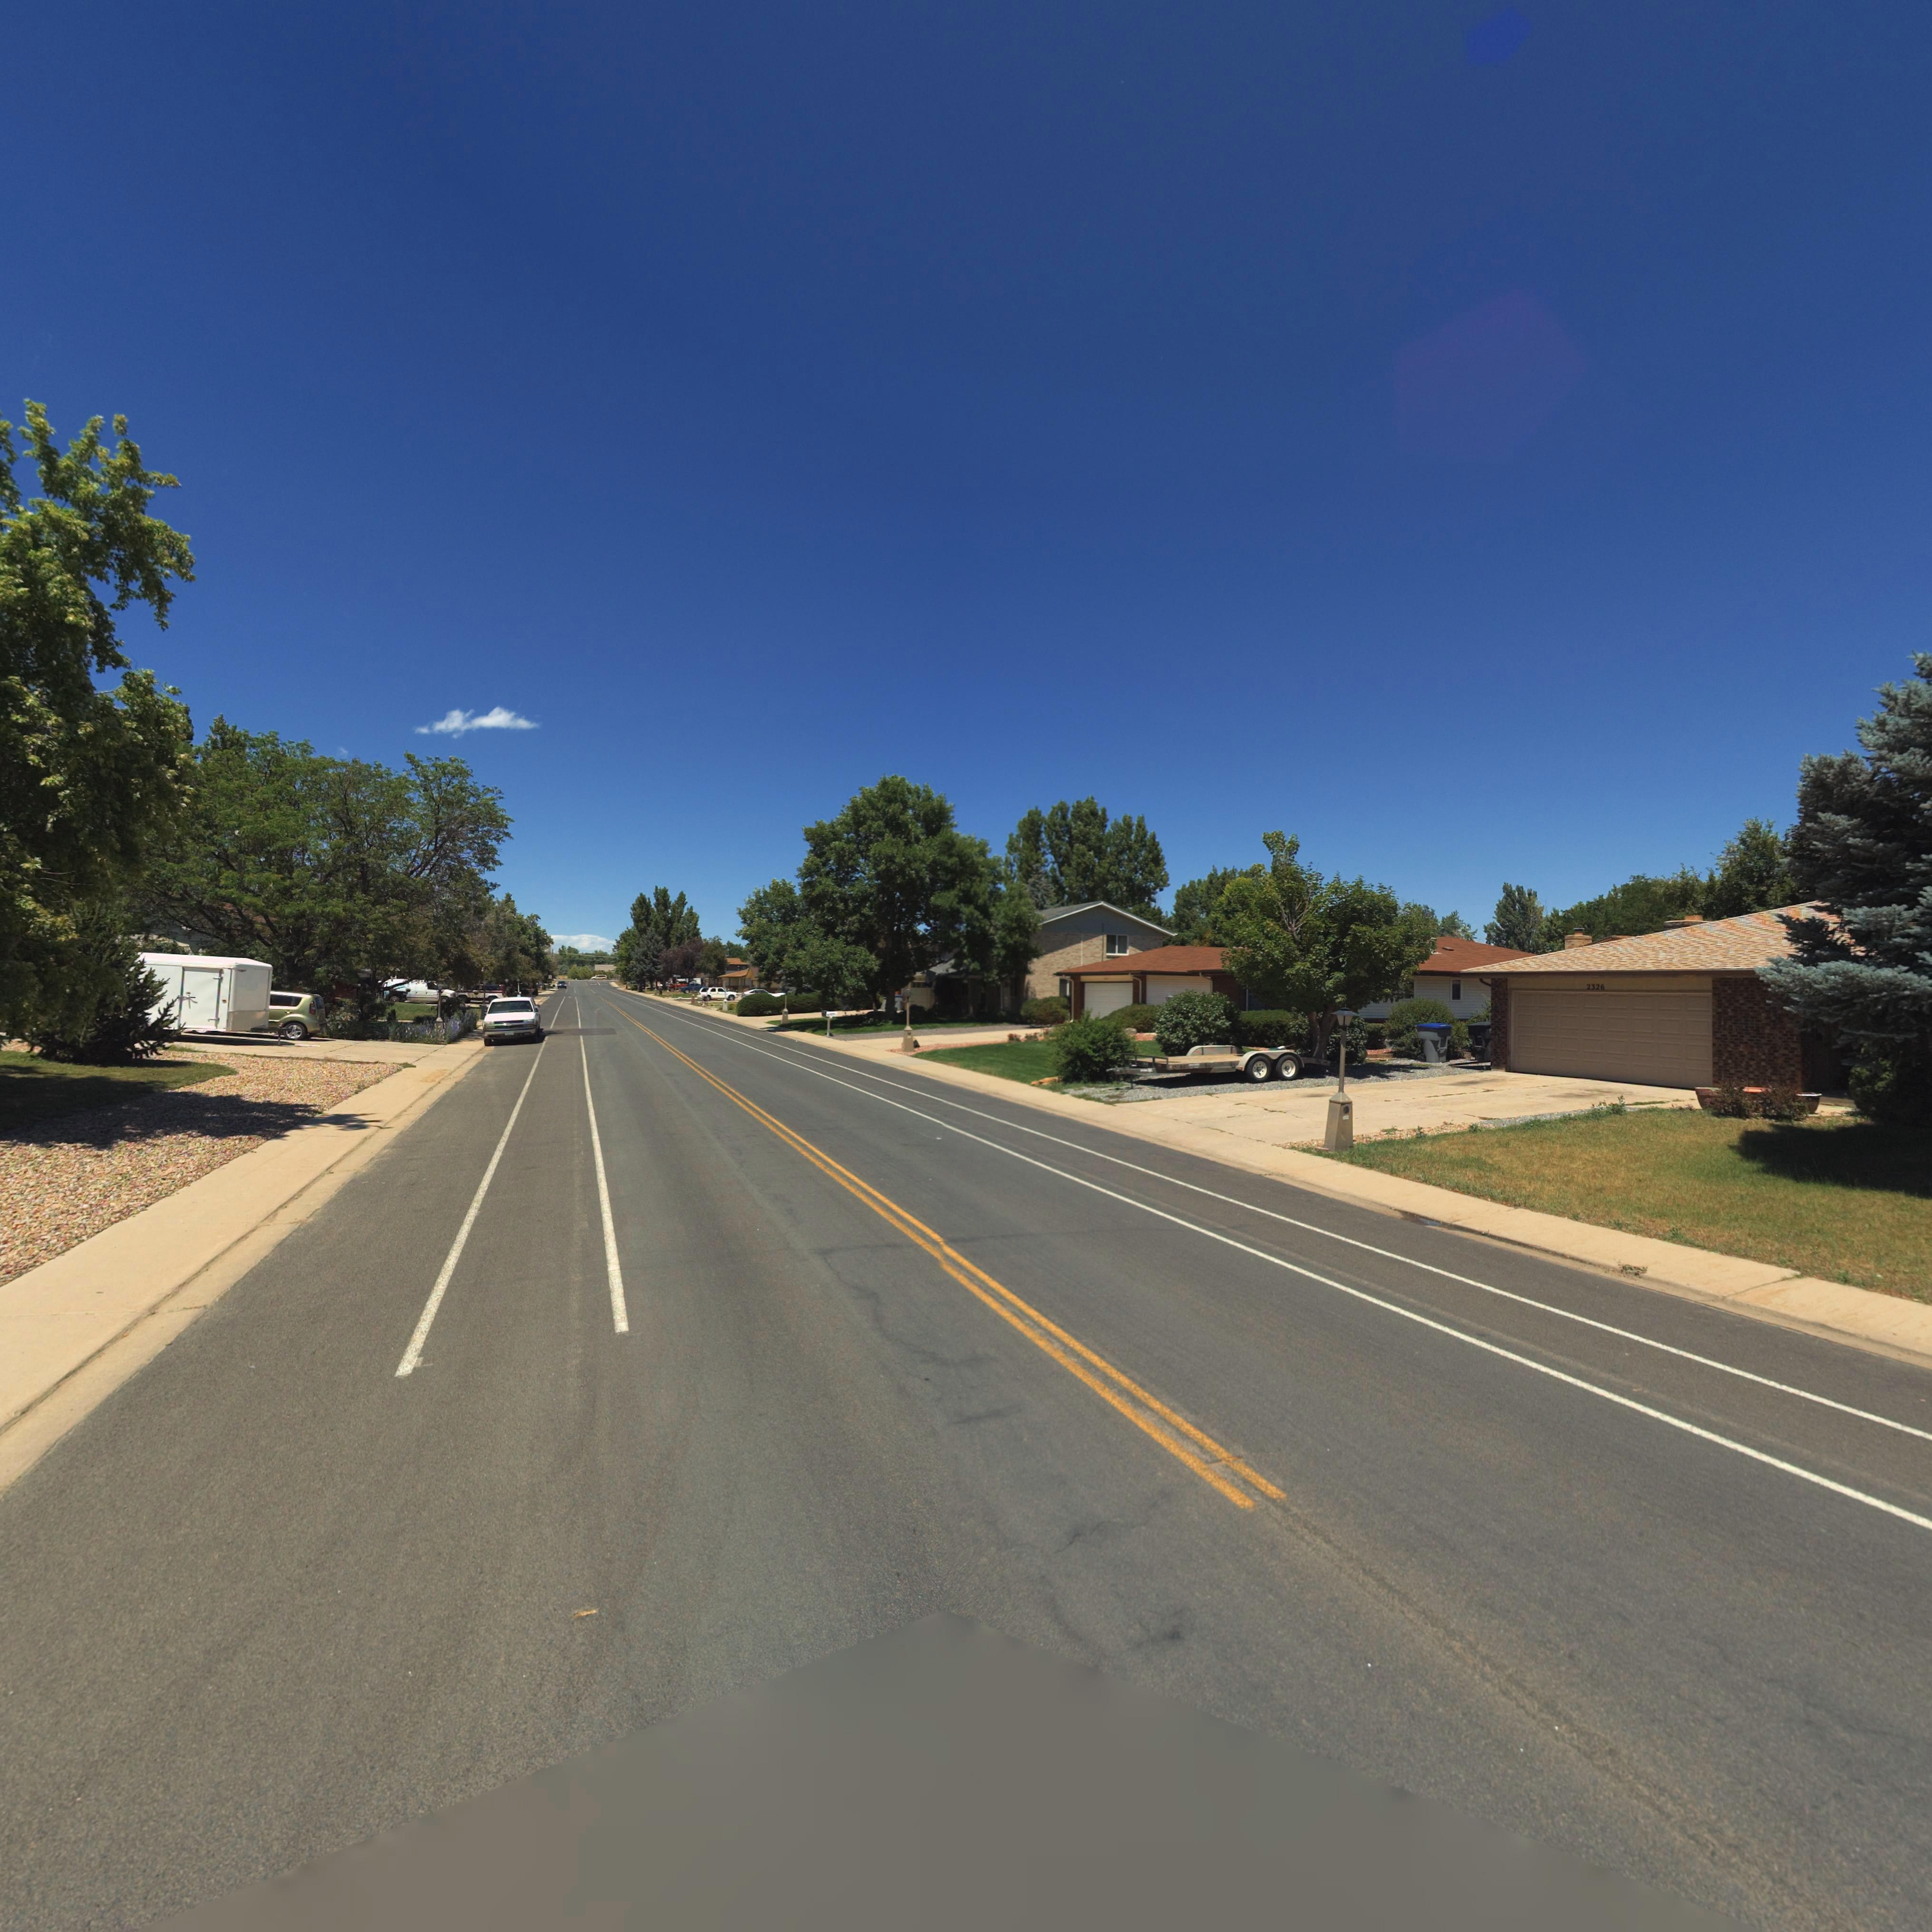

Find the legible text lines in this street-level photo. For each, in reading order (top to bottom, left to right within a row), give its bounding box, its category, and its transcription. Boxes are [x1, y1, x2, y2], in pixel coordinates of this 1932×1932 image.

[1586, 984, 1604, 990] StreetNumber: 2326